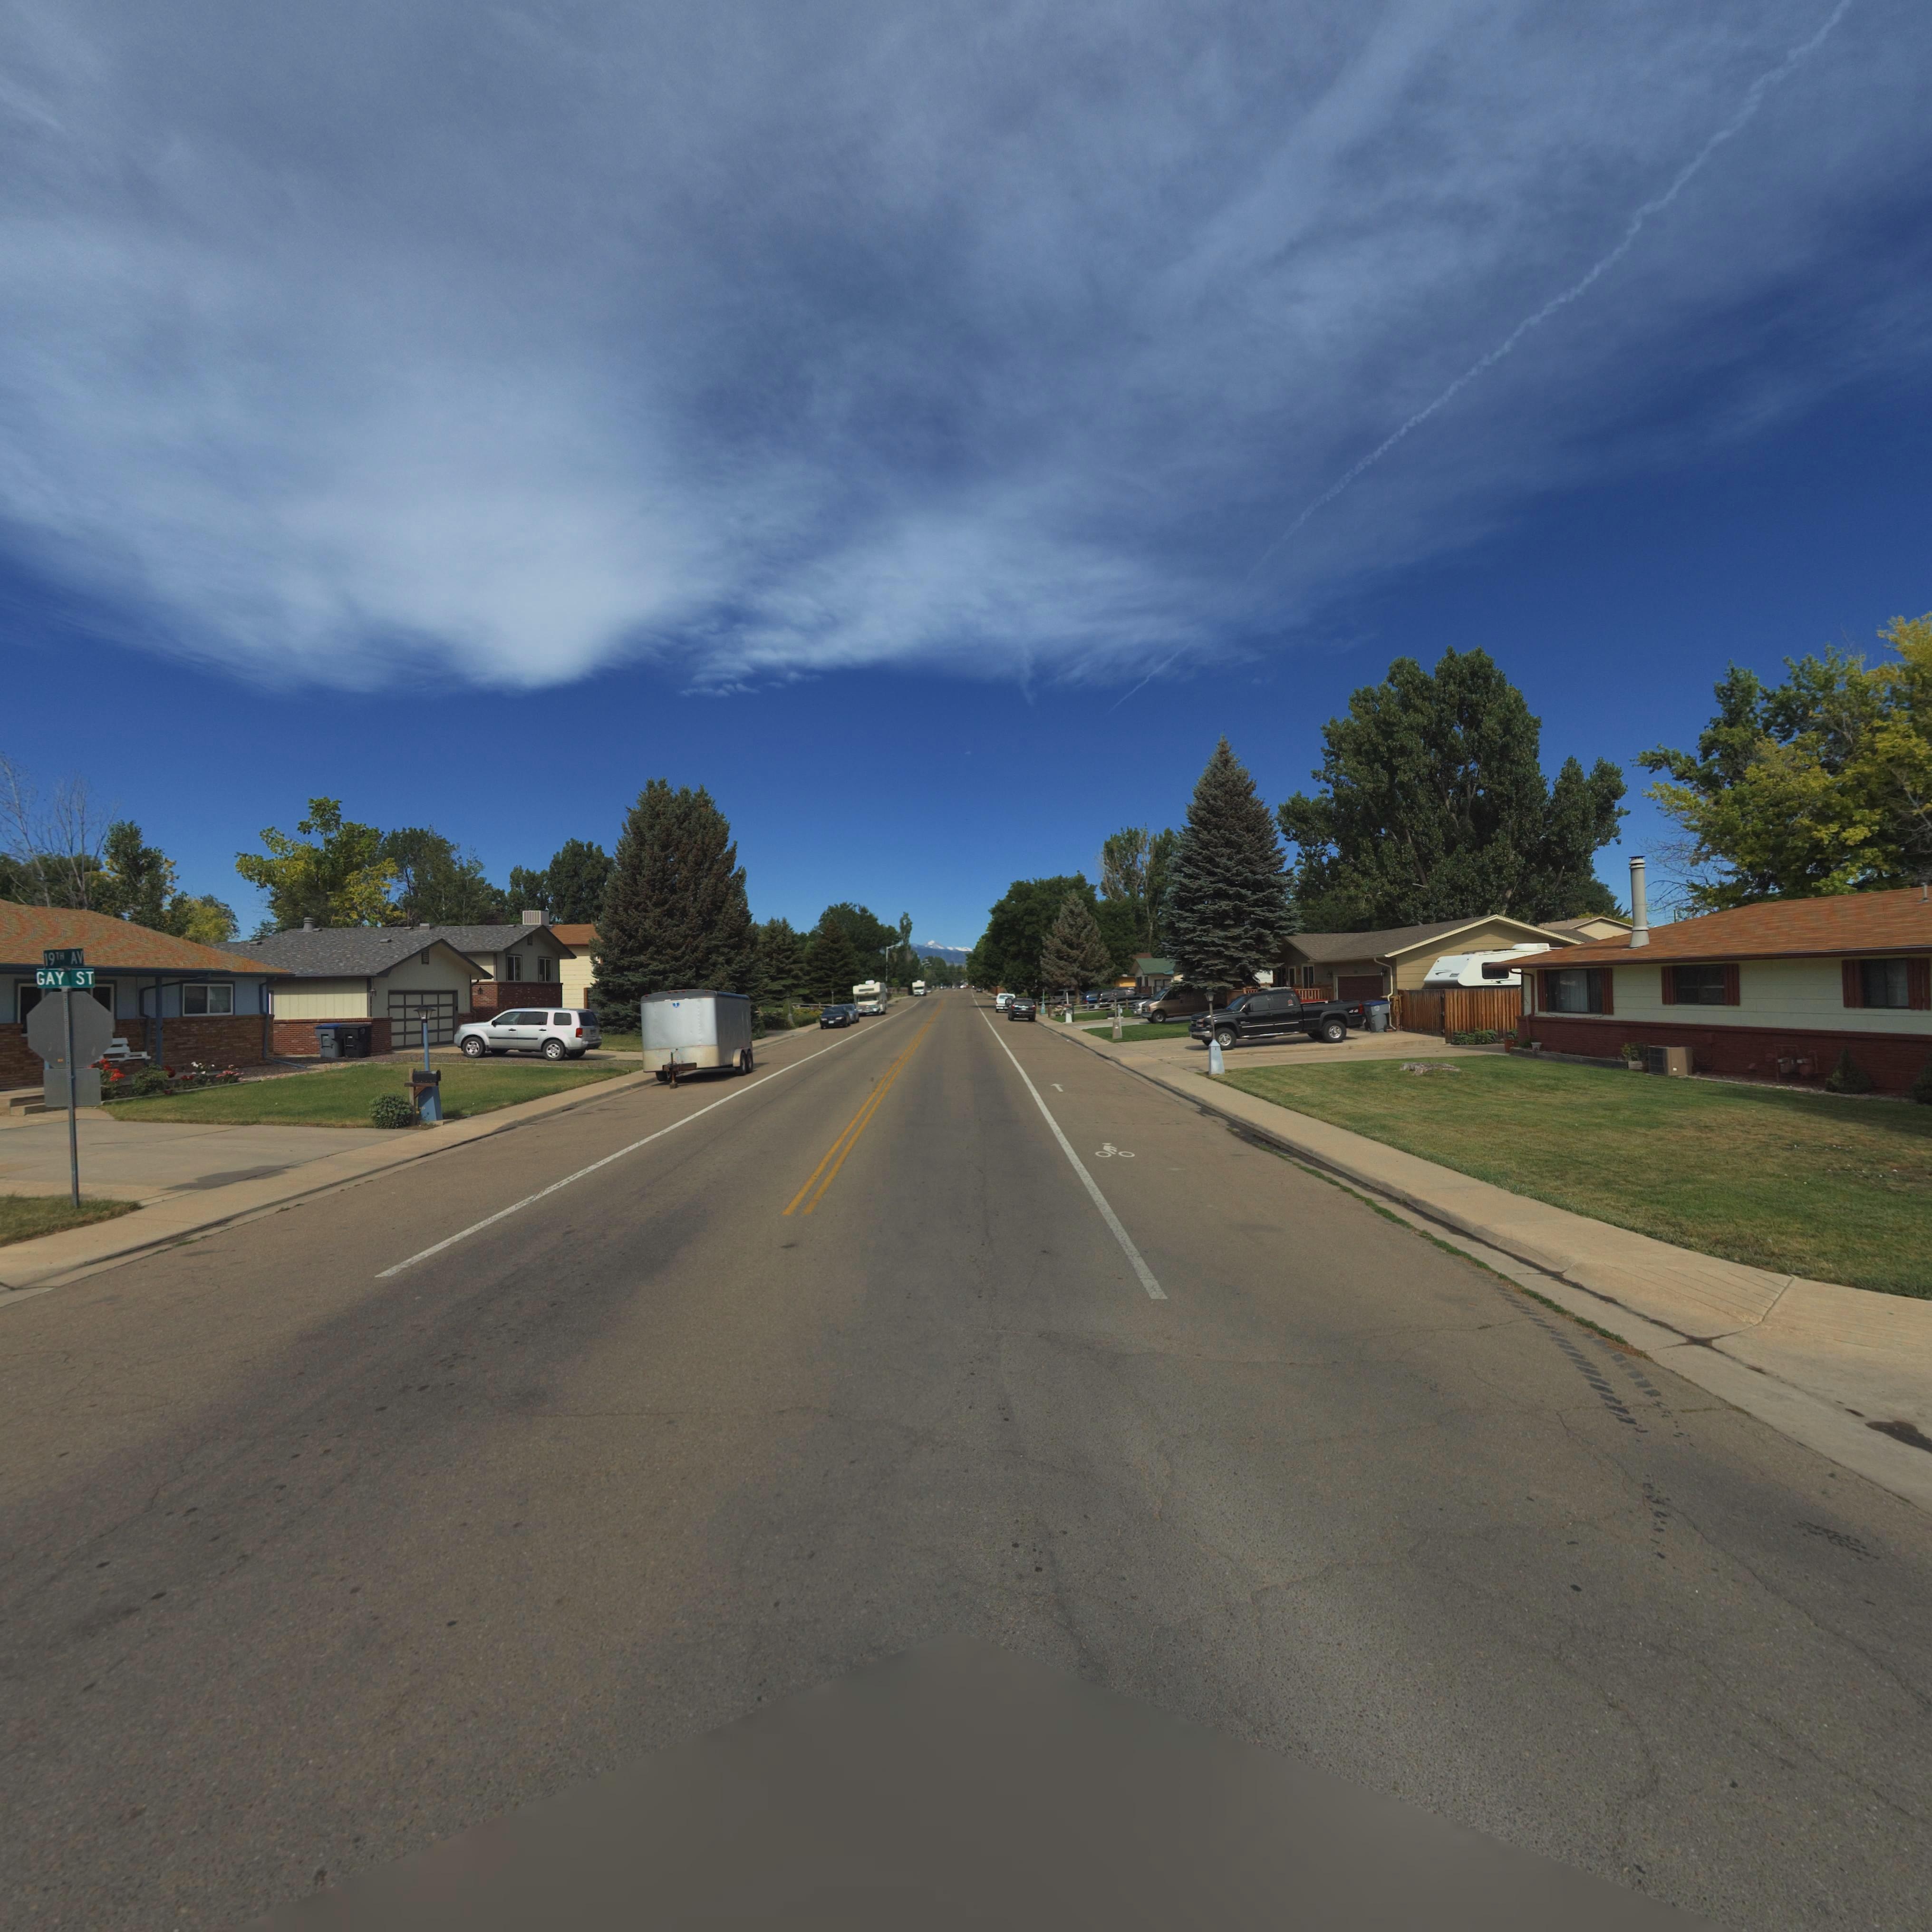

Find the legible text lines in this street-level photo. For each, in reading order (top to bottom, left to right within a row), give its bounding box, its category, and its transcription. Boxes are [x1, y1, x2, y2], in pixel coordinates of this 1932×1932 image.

[44, 950, 83, 966] StreetName: 19TH AV
[35, 971, 95, 985] StreetName: GAY ST
[464, 993, 467, 1007] StreetNumber: 1***